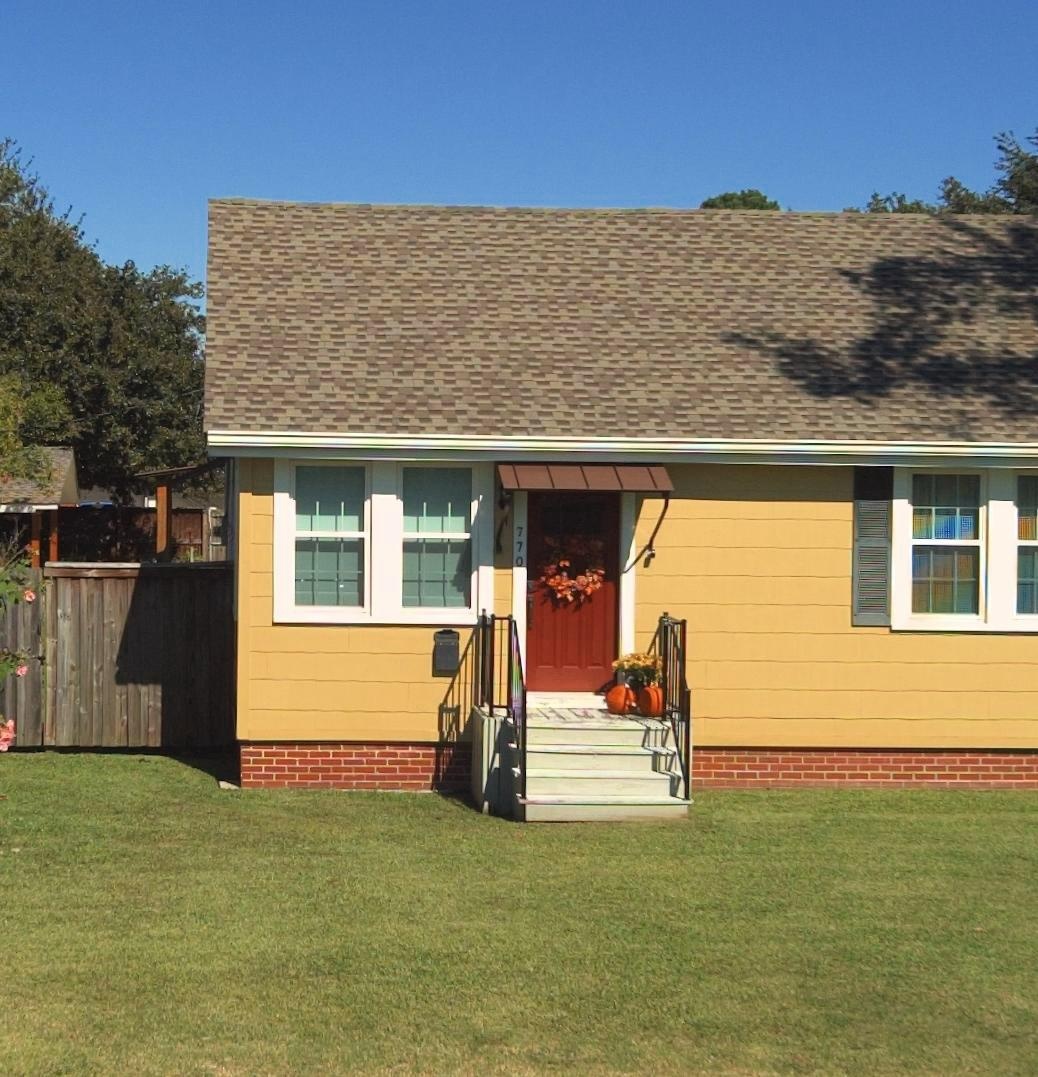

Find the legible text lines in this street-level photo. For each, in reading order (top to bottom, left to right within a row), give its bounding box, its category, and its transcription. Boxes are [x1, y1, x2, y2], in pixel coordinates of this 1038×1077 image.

[514, 526, 525, 568] StreetNumber: 770